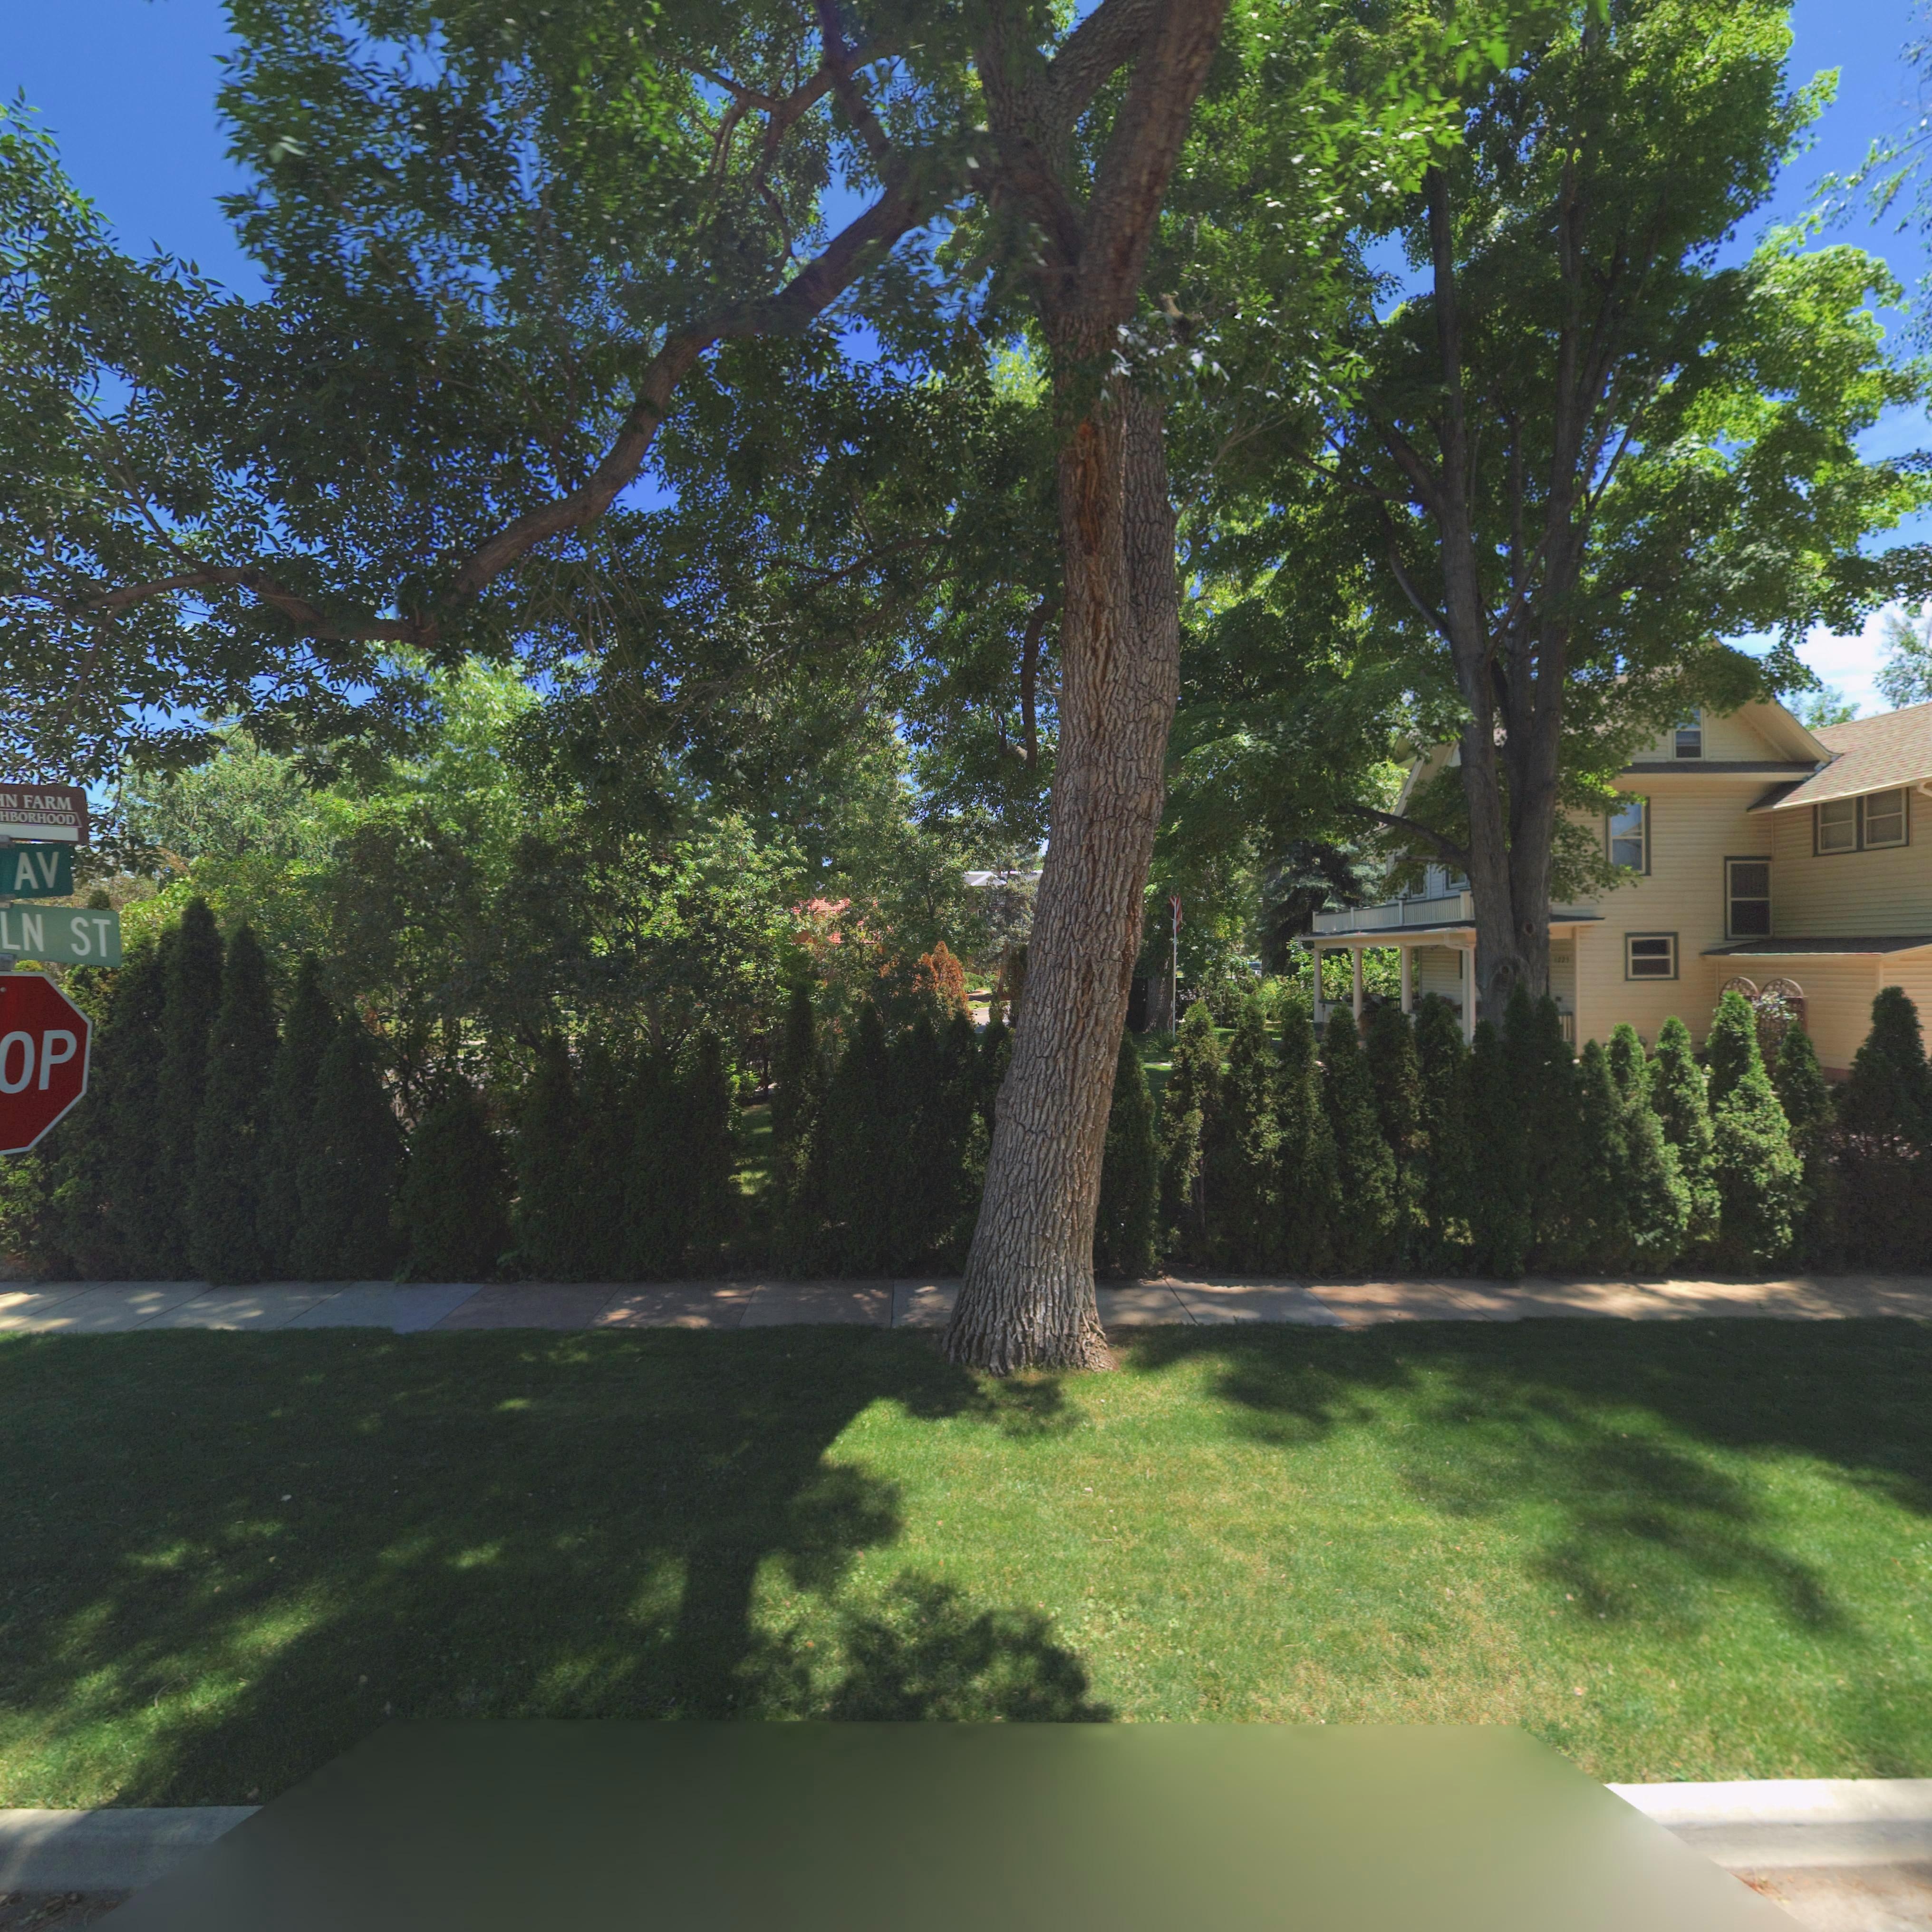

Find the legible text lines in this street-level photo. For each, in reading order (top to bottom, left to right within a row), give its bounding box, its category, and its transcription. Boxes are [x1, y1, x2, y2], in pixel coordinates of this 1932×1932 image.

[13, 851, 59, 890] StreetName: AV
[0, 910, 111, 957] StreetName: LN ST